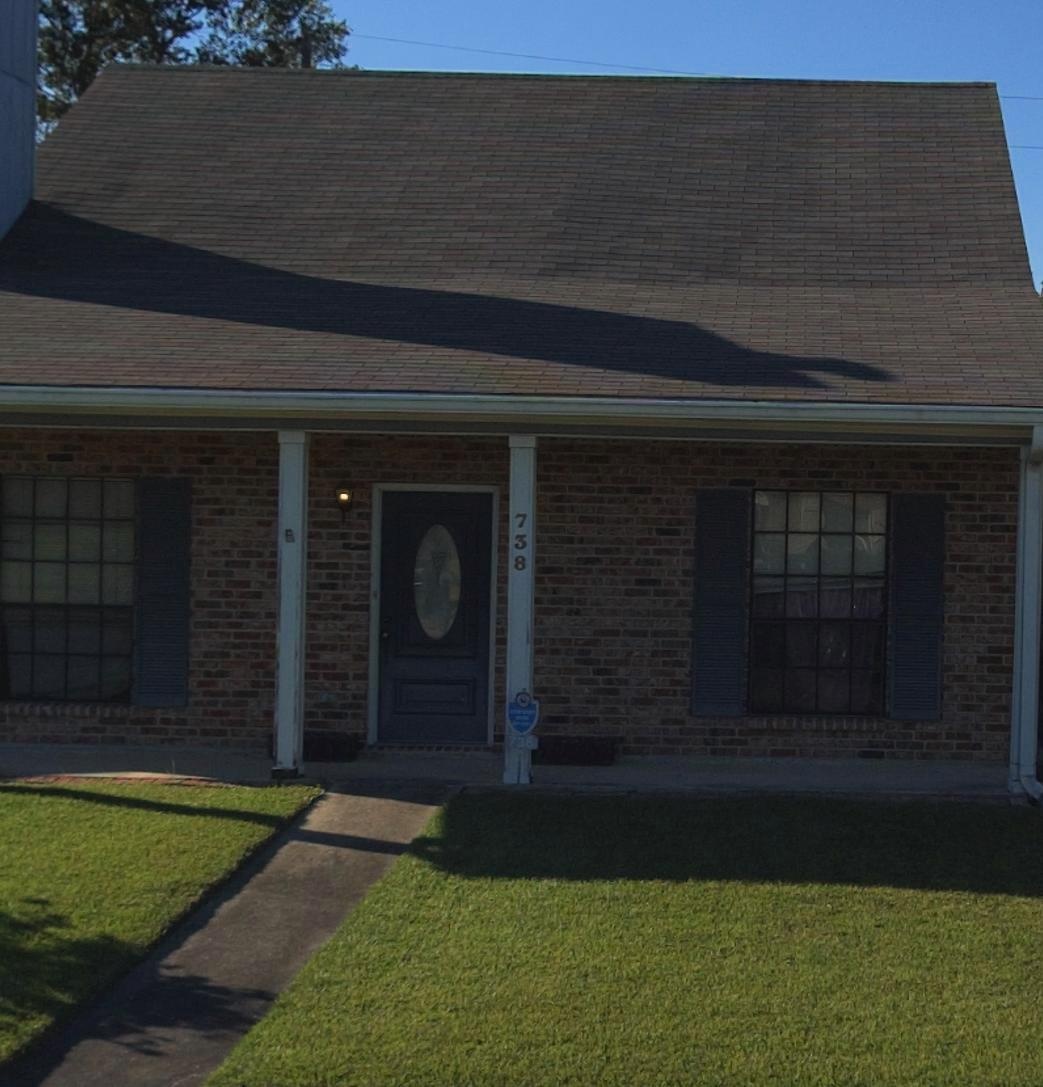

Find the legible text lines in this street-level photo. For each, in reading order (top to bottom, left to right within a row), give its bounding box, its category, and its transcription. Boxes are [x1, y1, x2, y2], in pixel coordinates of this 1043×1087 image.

[513, 512, 528, 571] StreetNumber: 738
[508, 735, 534, 749] StreetNumber: 738